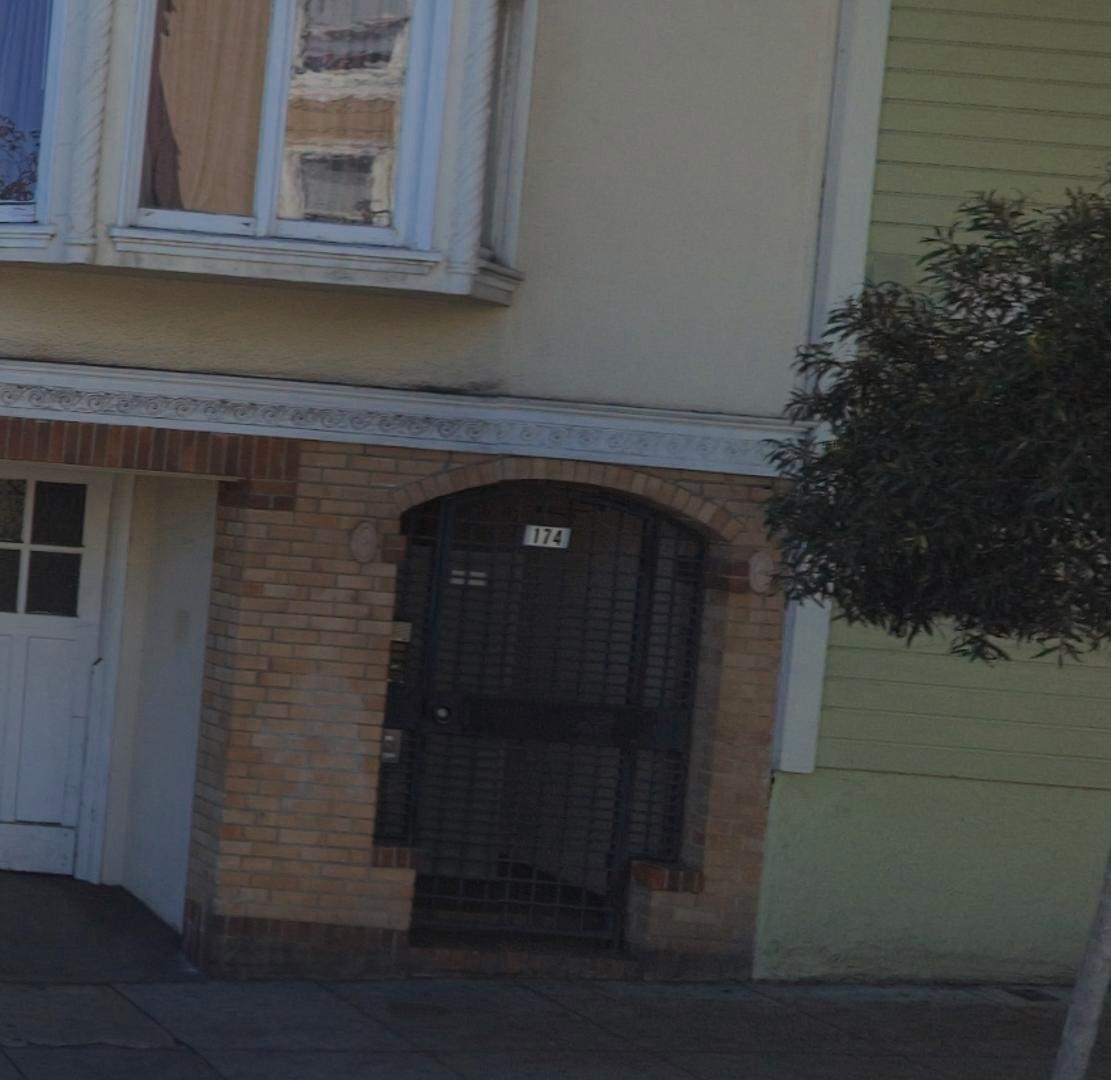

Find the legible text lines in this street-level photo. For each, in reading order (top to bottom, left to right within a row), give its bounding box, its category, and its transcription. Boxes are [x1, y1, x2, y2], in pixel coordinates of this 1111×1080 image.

[531, 526, 564, 548] StreetNumber: 174